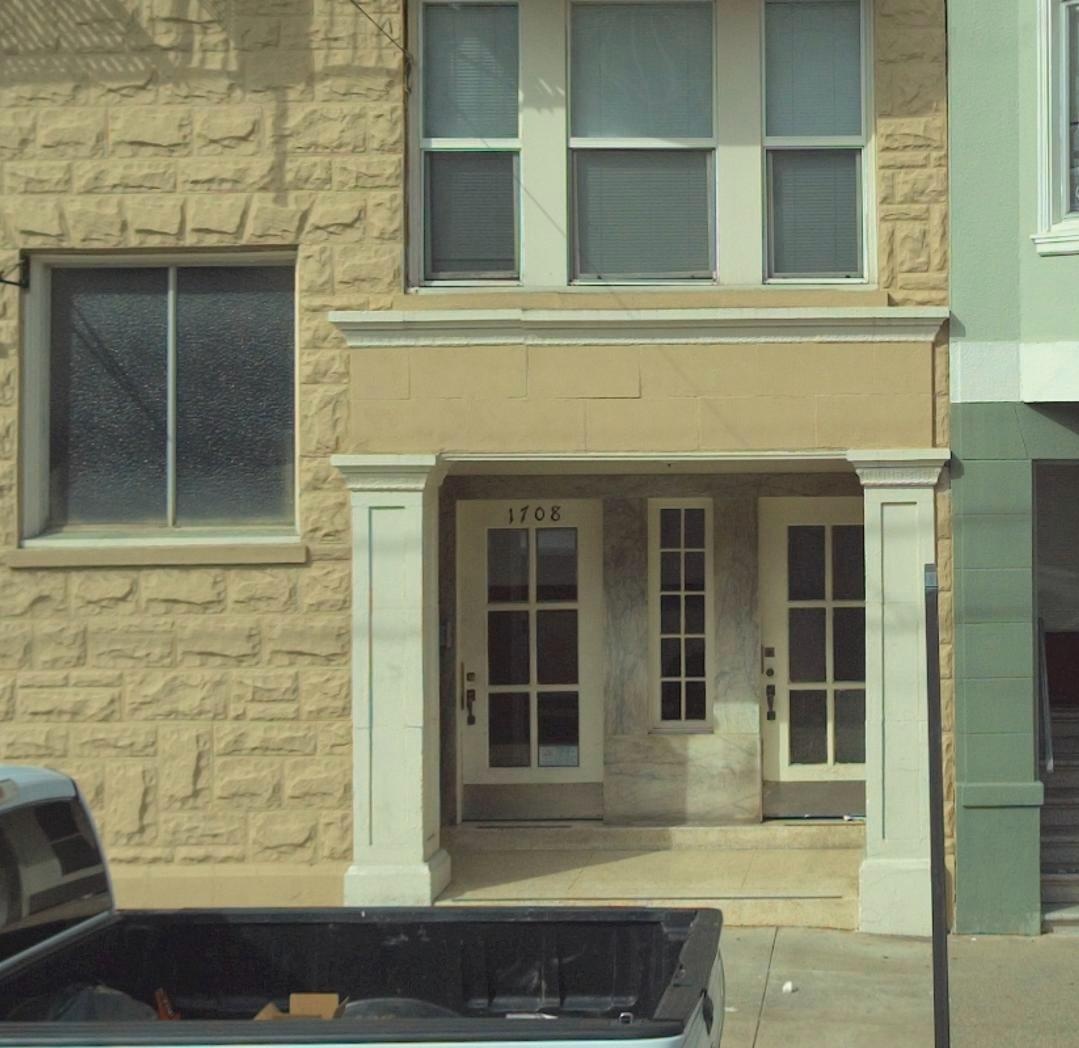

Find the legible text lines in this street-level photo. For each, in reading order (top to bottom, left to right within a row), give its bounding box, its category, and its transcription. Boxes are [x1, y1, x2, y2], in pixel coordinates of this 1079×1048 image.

[506, 503, 564, 526] StreetNumber: 1708